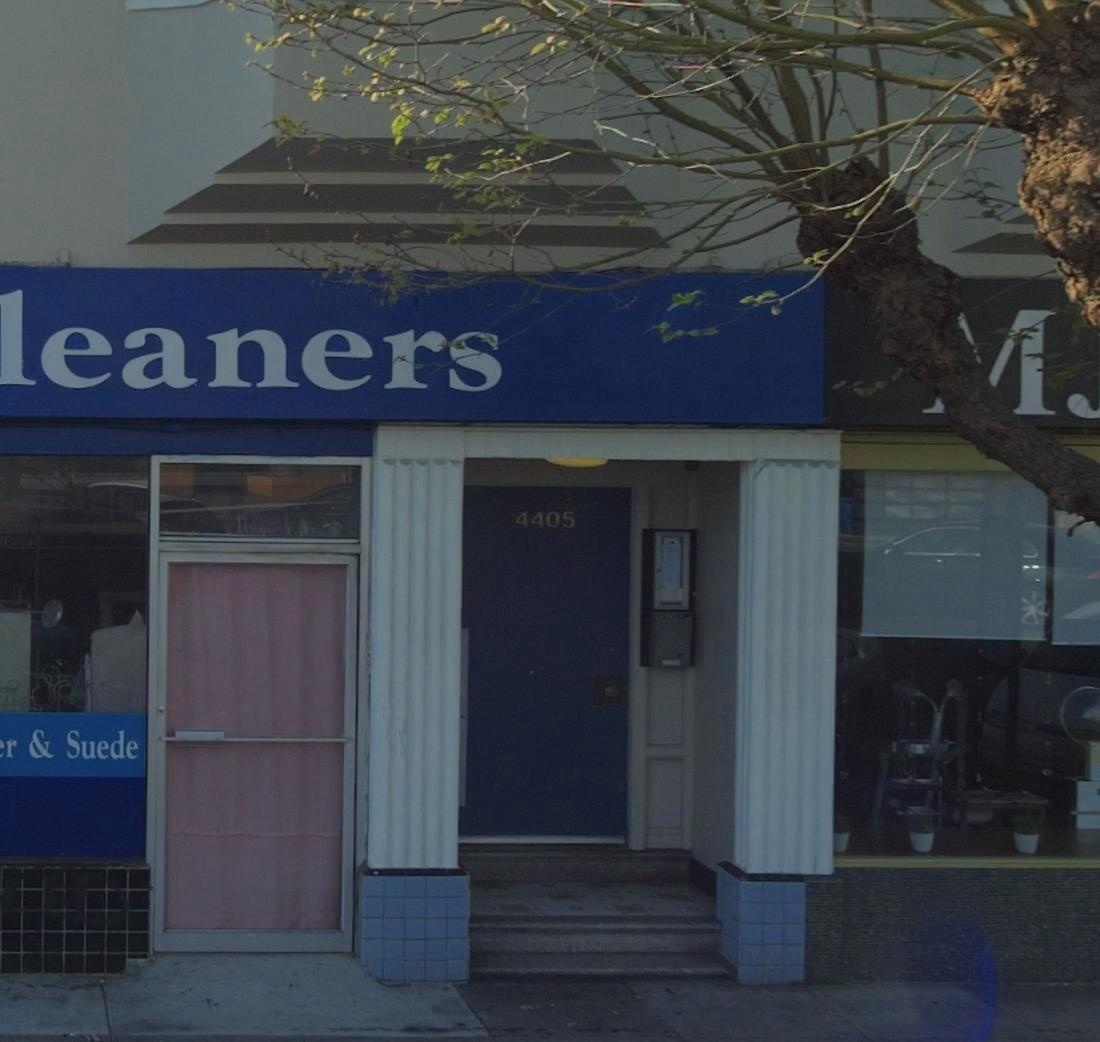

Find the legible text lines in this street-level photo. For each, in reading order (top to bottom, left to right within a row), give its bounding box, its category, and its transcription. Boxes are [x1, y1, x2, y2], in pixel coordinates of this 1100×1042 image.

[38, 323, 506, 395] BusinessName: eaners
[512, 509, 577, 530] StreetNumber: 4405
[3, 726, 143, 763] None: r & Suede